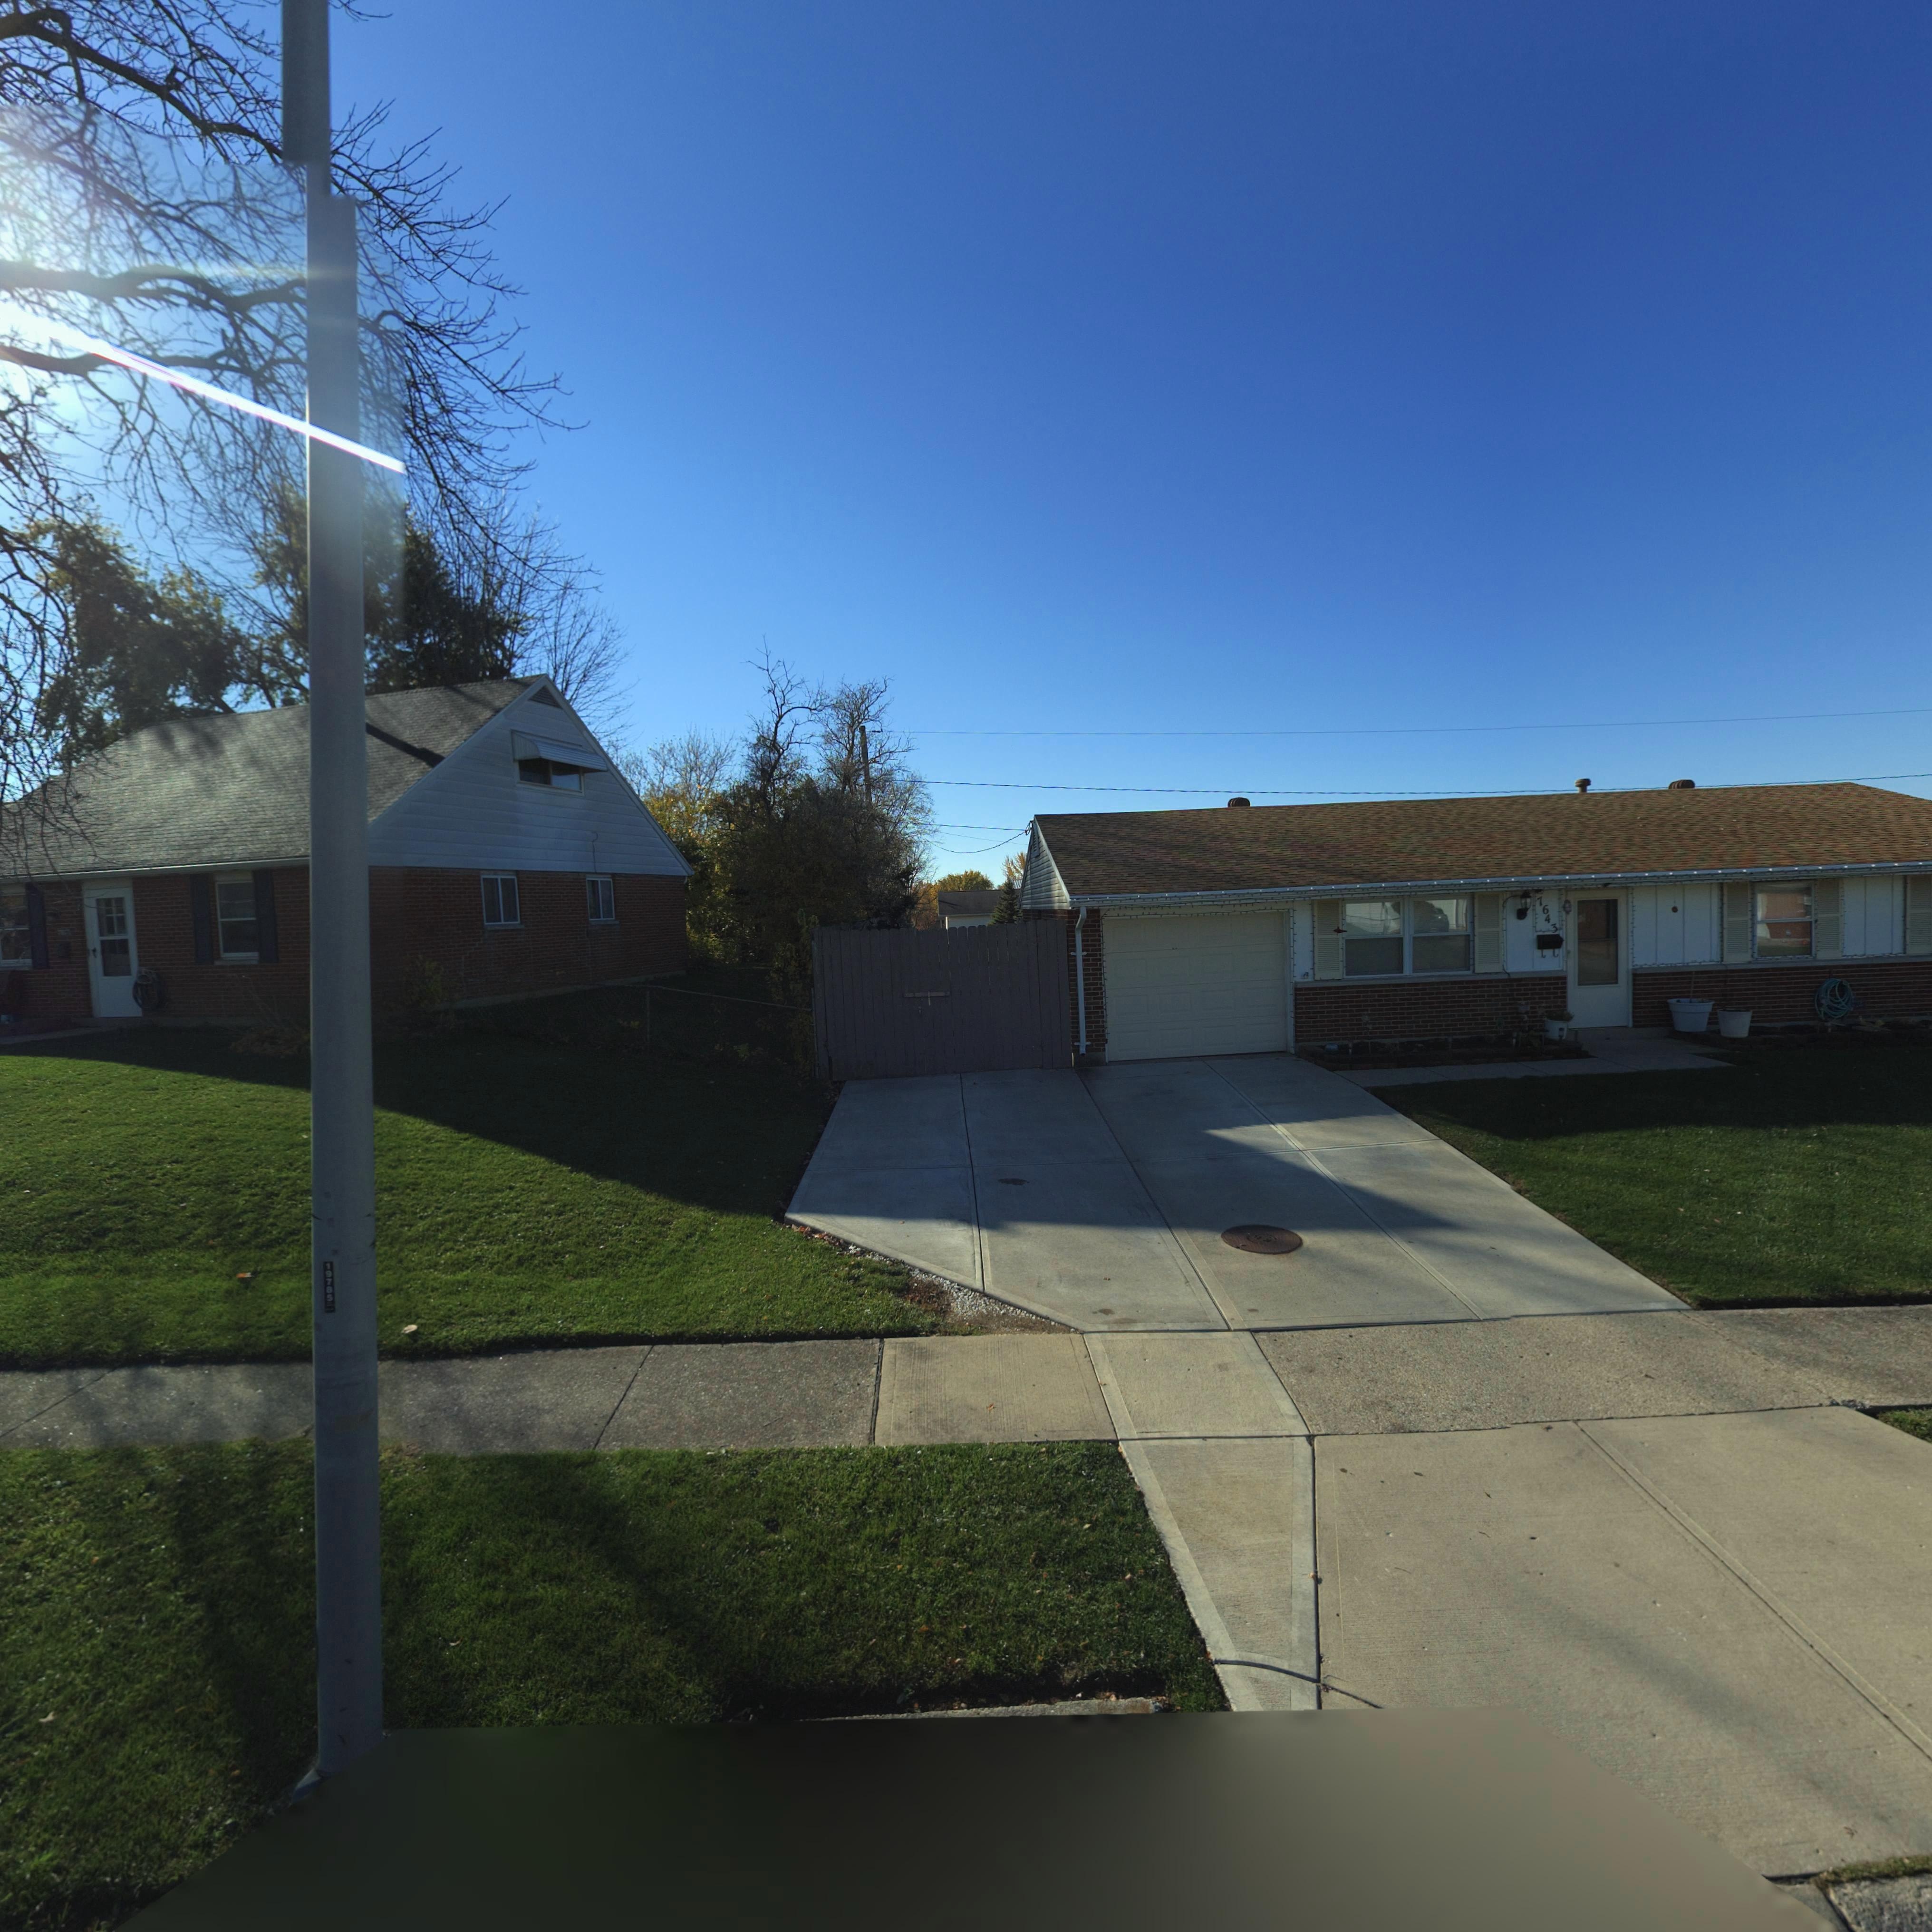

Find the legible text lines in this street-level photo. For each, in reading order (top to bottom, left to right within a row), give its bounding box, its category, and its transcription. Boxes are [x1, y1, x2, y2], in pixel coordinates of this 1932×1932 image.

[1536, 895, 1560, 935] StreetNumber: 7643